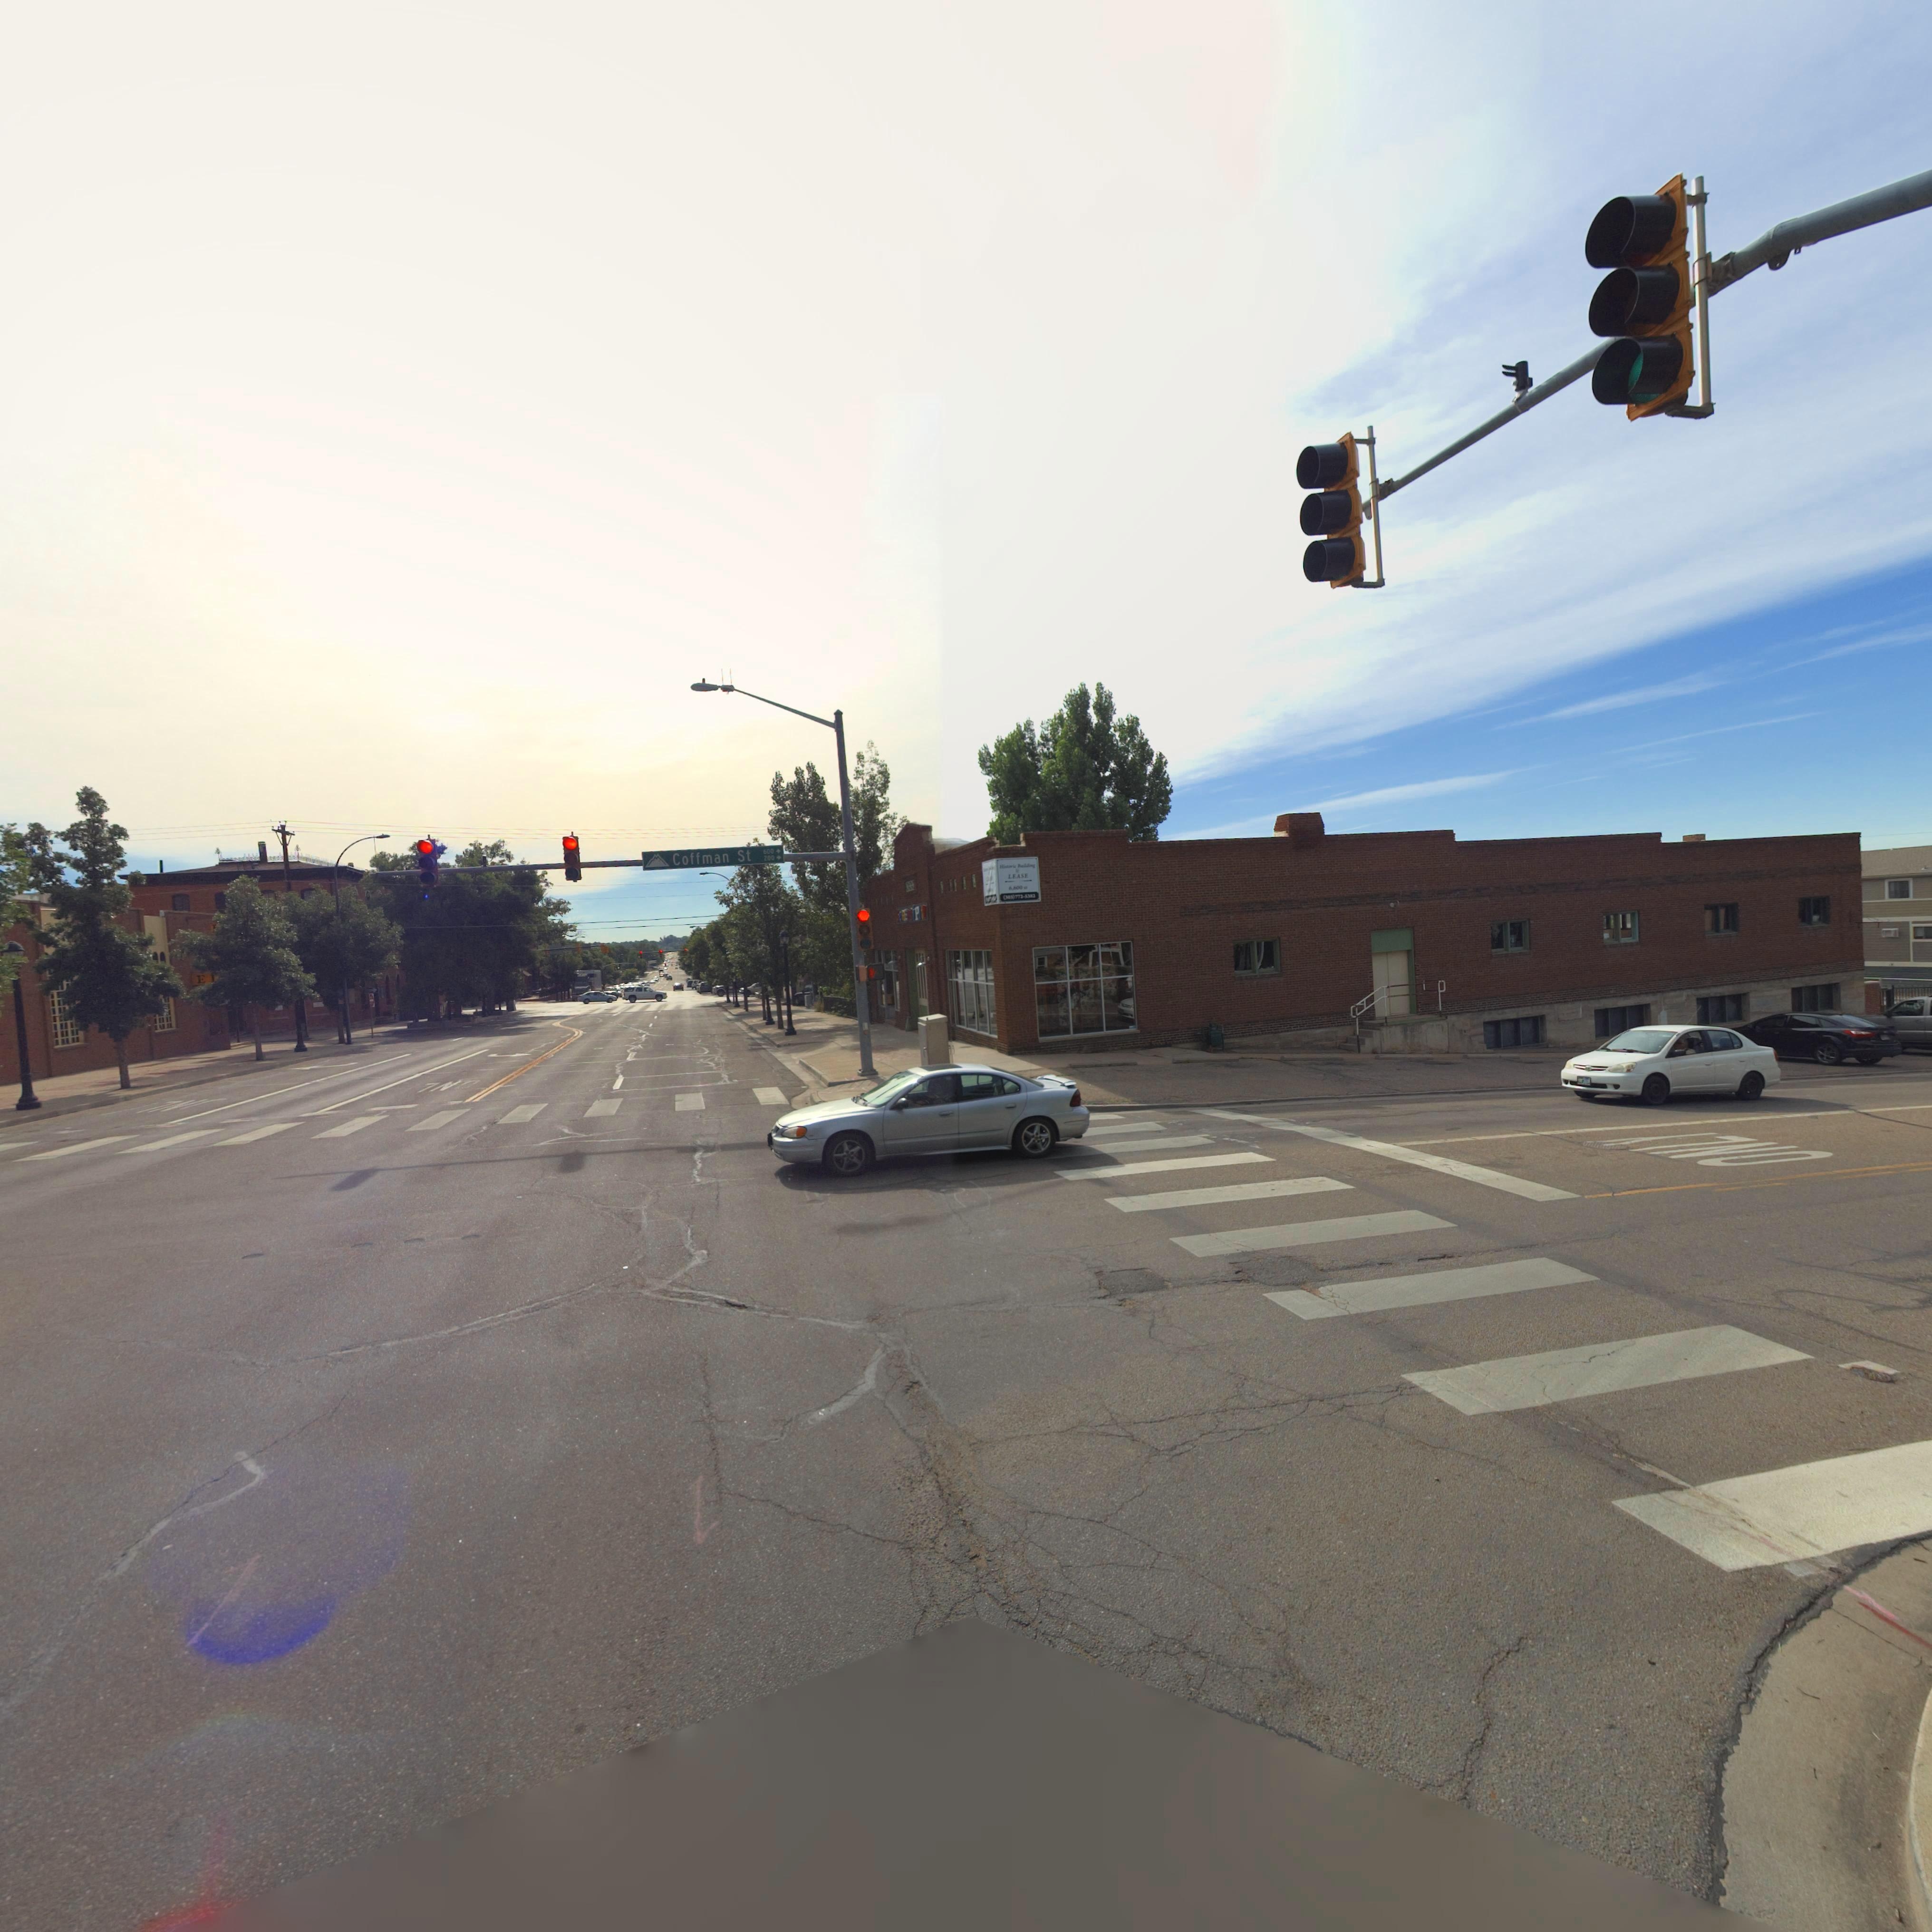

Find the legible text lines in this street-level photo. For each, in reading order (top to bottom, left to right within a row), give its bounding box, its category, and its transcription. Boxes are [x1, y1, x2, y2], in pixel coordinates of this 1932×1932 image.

[672, 849, 753, 866] StreetName: Coffman St
[763, 848, 774, 854] StreetNumber: 600
[763, 855, 782, 861] StreetNumberRange: 200->
[894, 902, 928, 923] BusinessName: S*RE**iP**Y